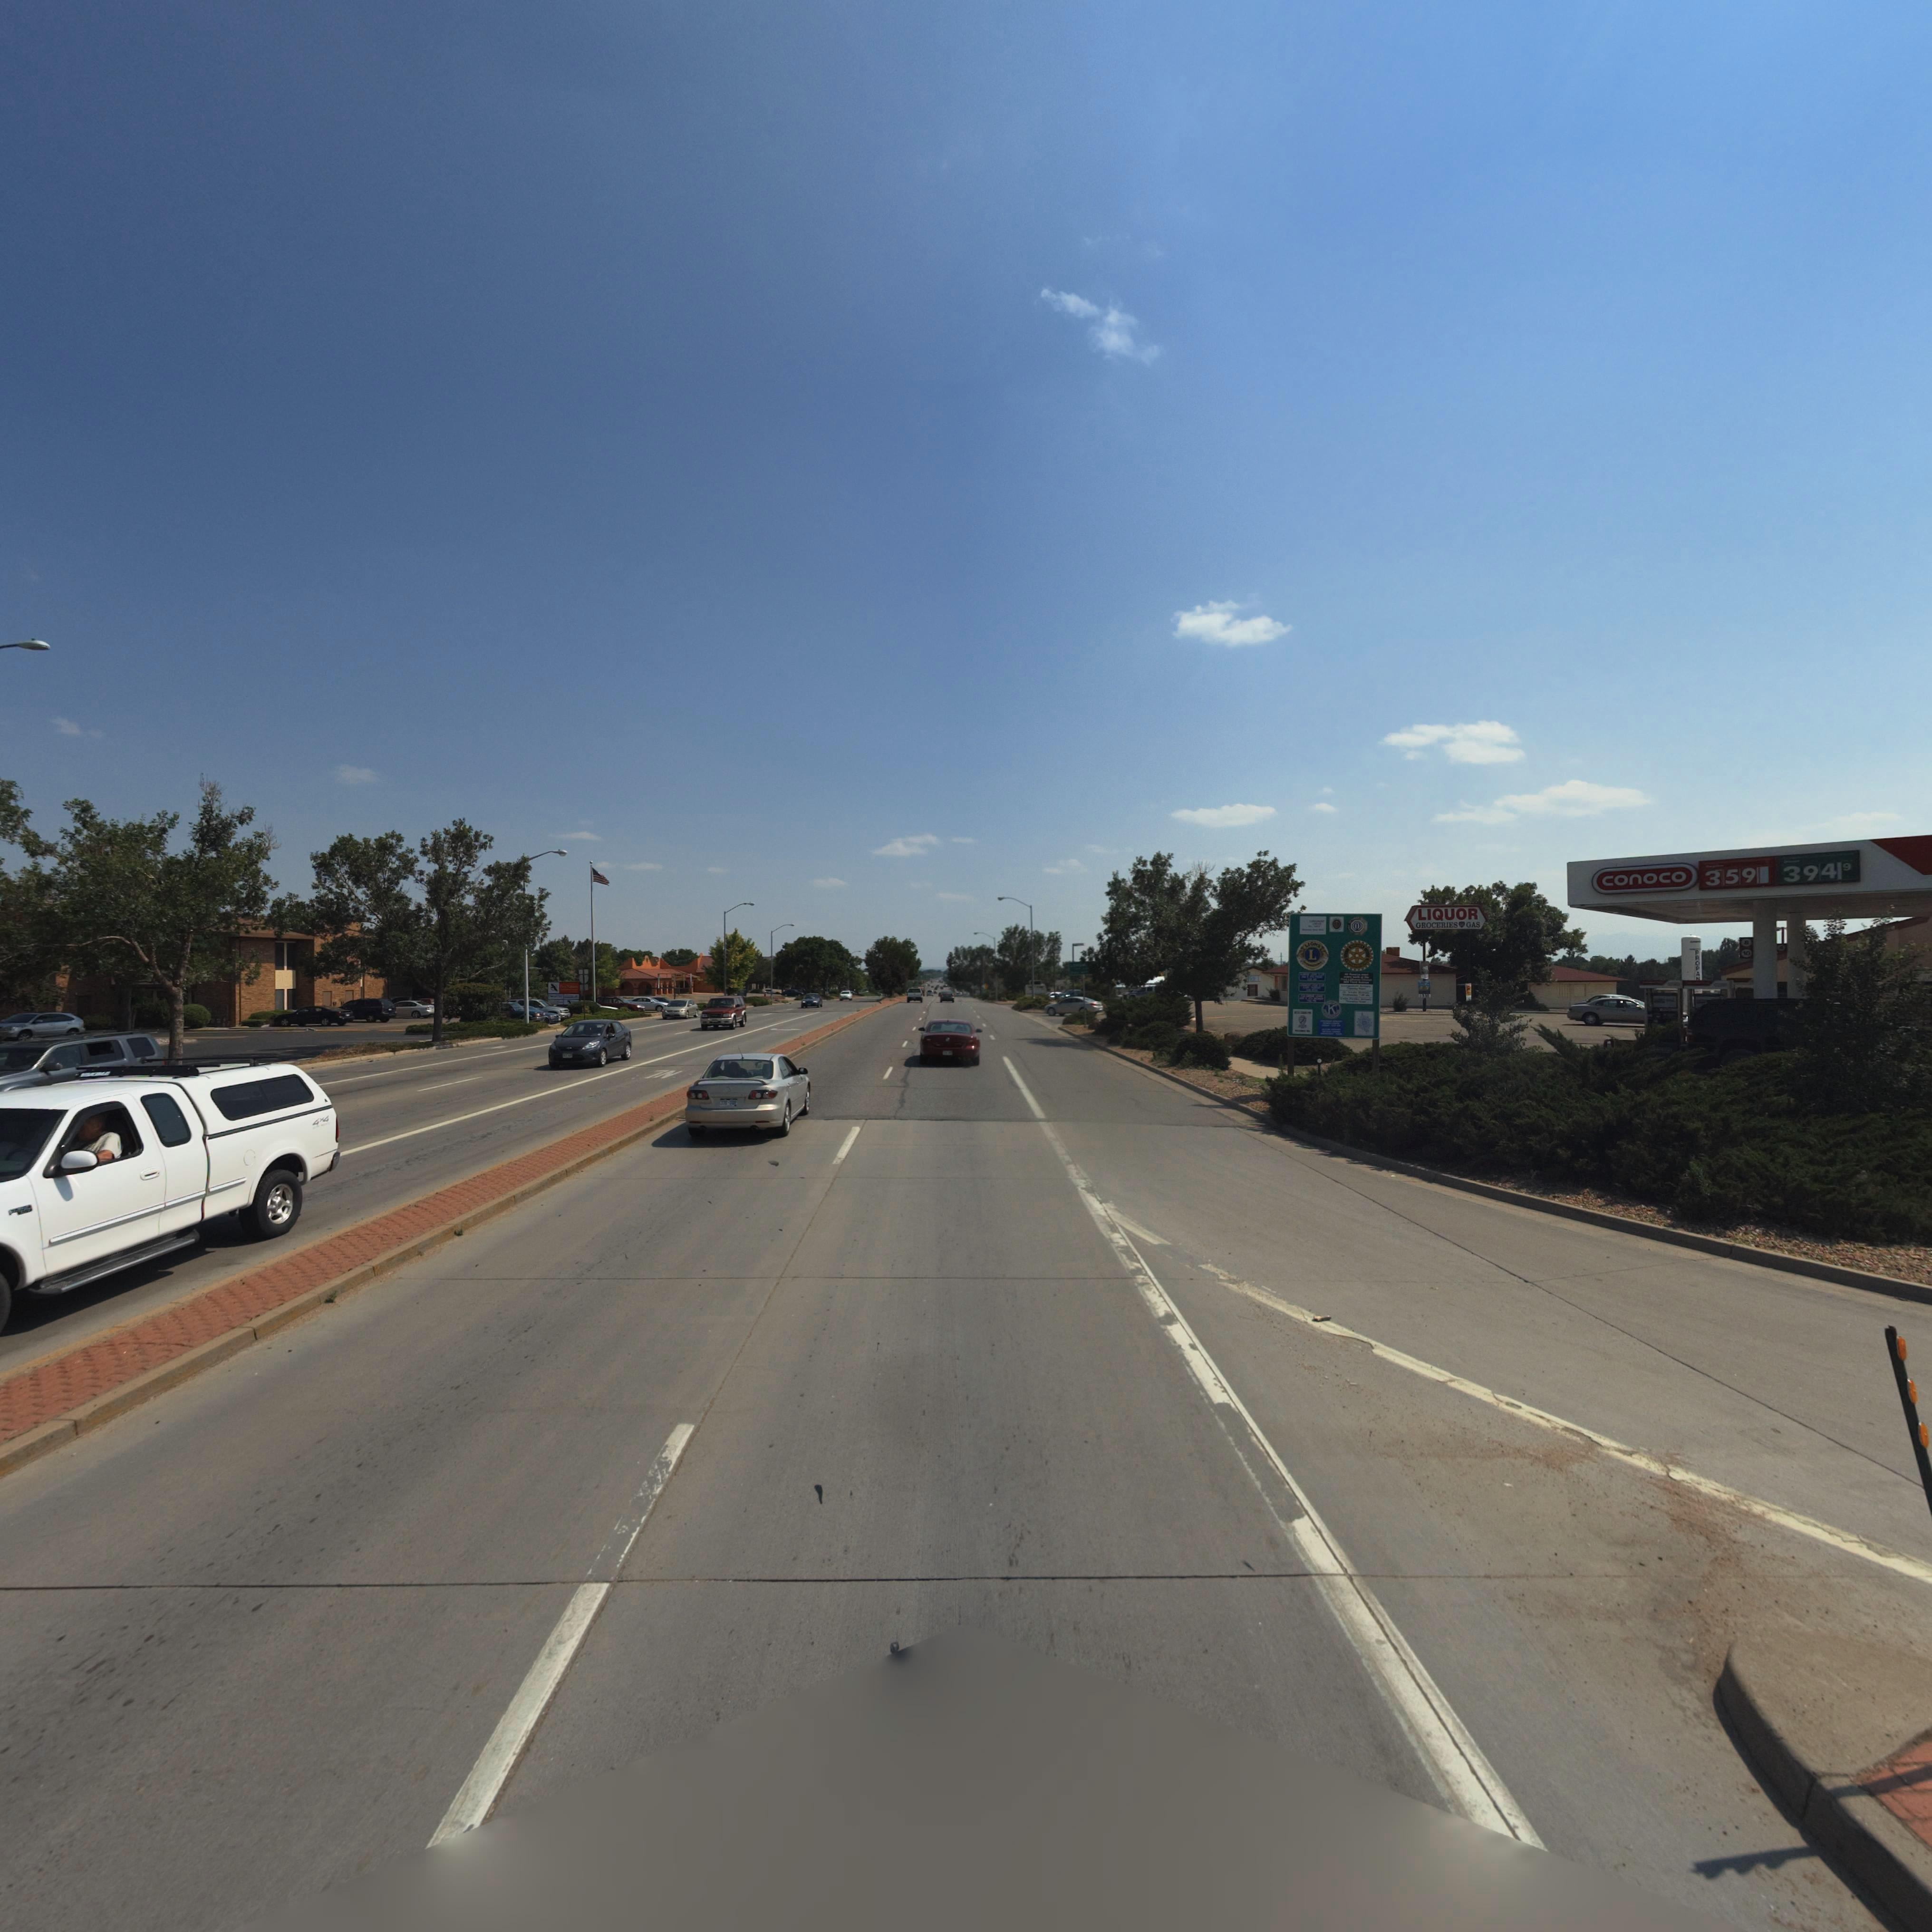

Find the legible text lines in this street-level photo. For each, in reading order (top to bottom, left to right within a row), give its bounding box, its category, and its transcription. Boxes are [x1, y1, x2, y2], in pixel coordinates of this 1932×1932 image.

[1602, 870, 1687, 886] BusinessName: conoco